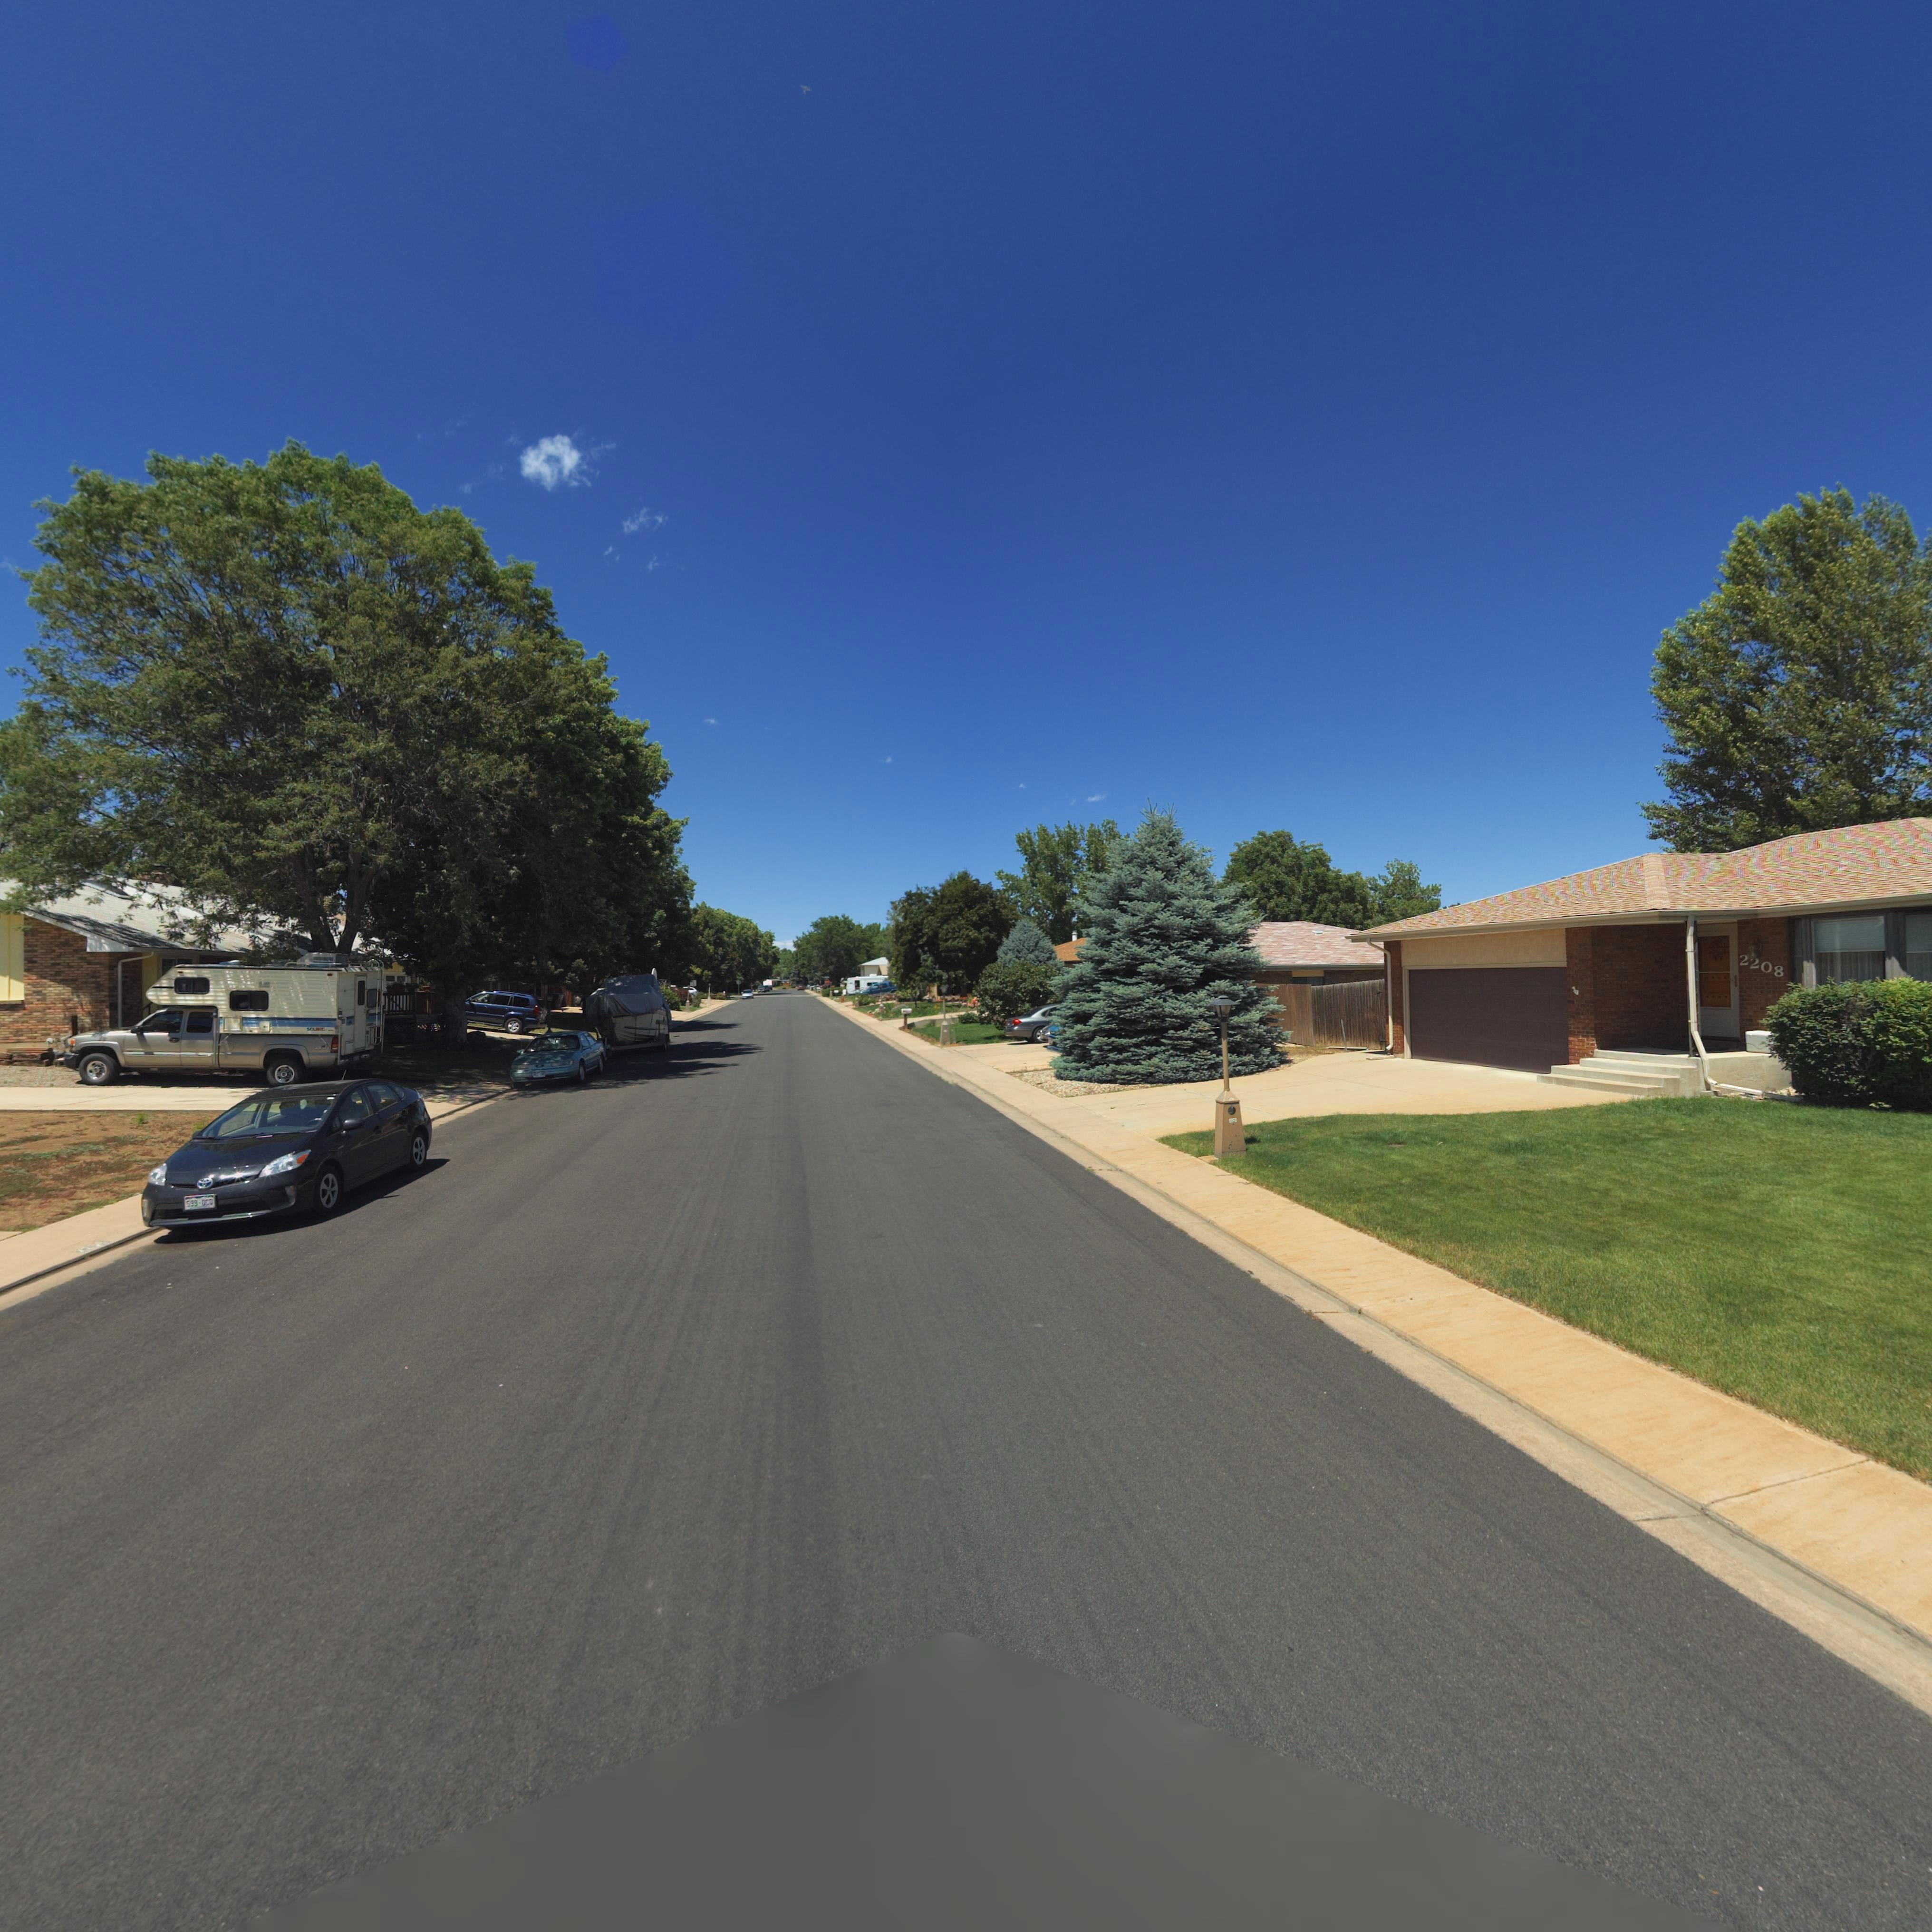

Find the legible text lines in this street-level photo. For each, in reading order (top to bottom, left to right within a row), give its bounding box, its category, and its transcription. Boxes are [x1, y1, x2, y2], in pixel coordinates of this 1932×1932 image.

[1737, 952, 1785, 979] StreetNumber: 2208